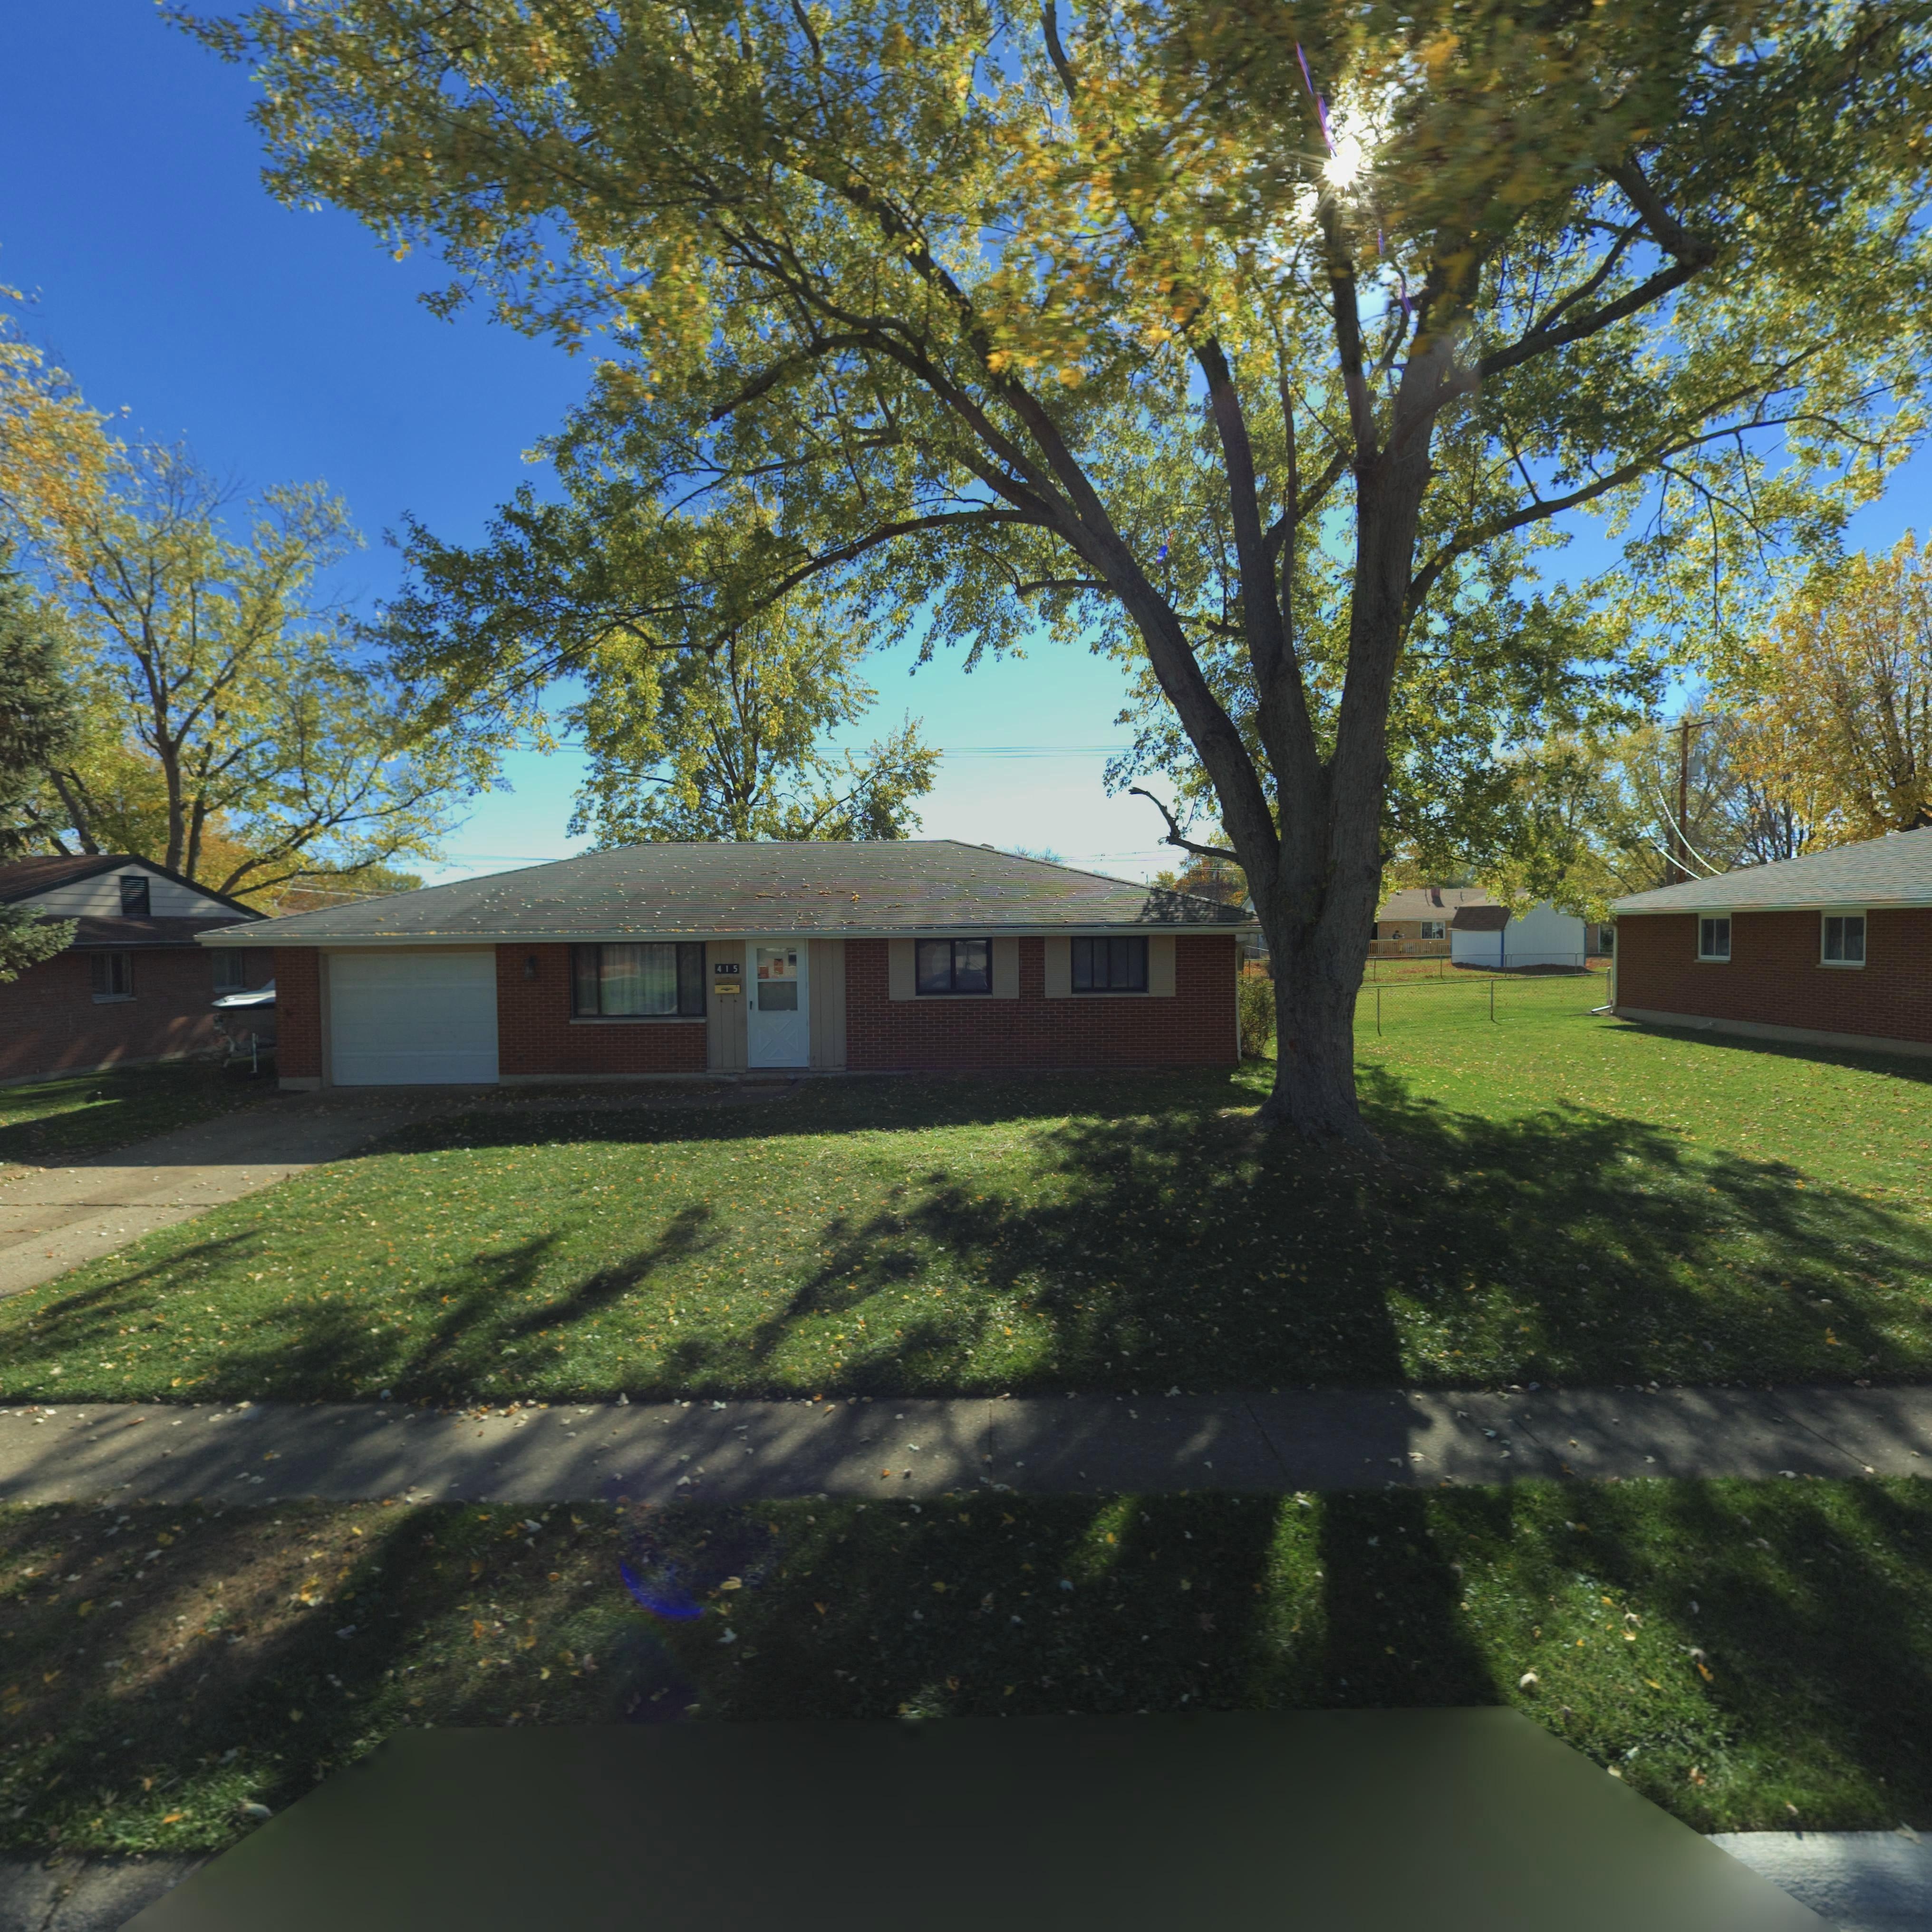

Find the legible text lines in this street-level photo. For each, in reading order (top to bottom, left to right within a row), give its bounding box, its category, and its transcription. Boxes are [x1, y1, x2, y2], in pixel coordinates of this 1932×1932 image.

[715, 964, 739, 974] StreetNumber: 415